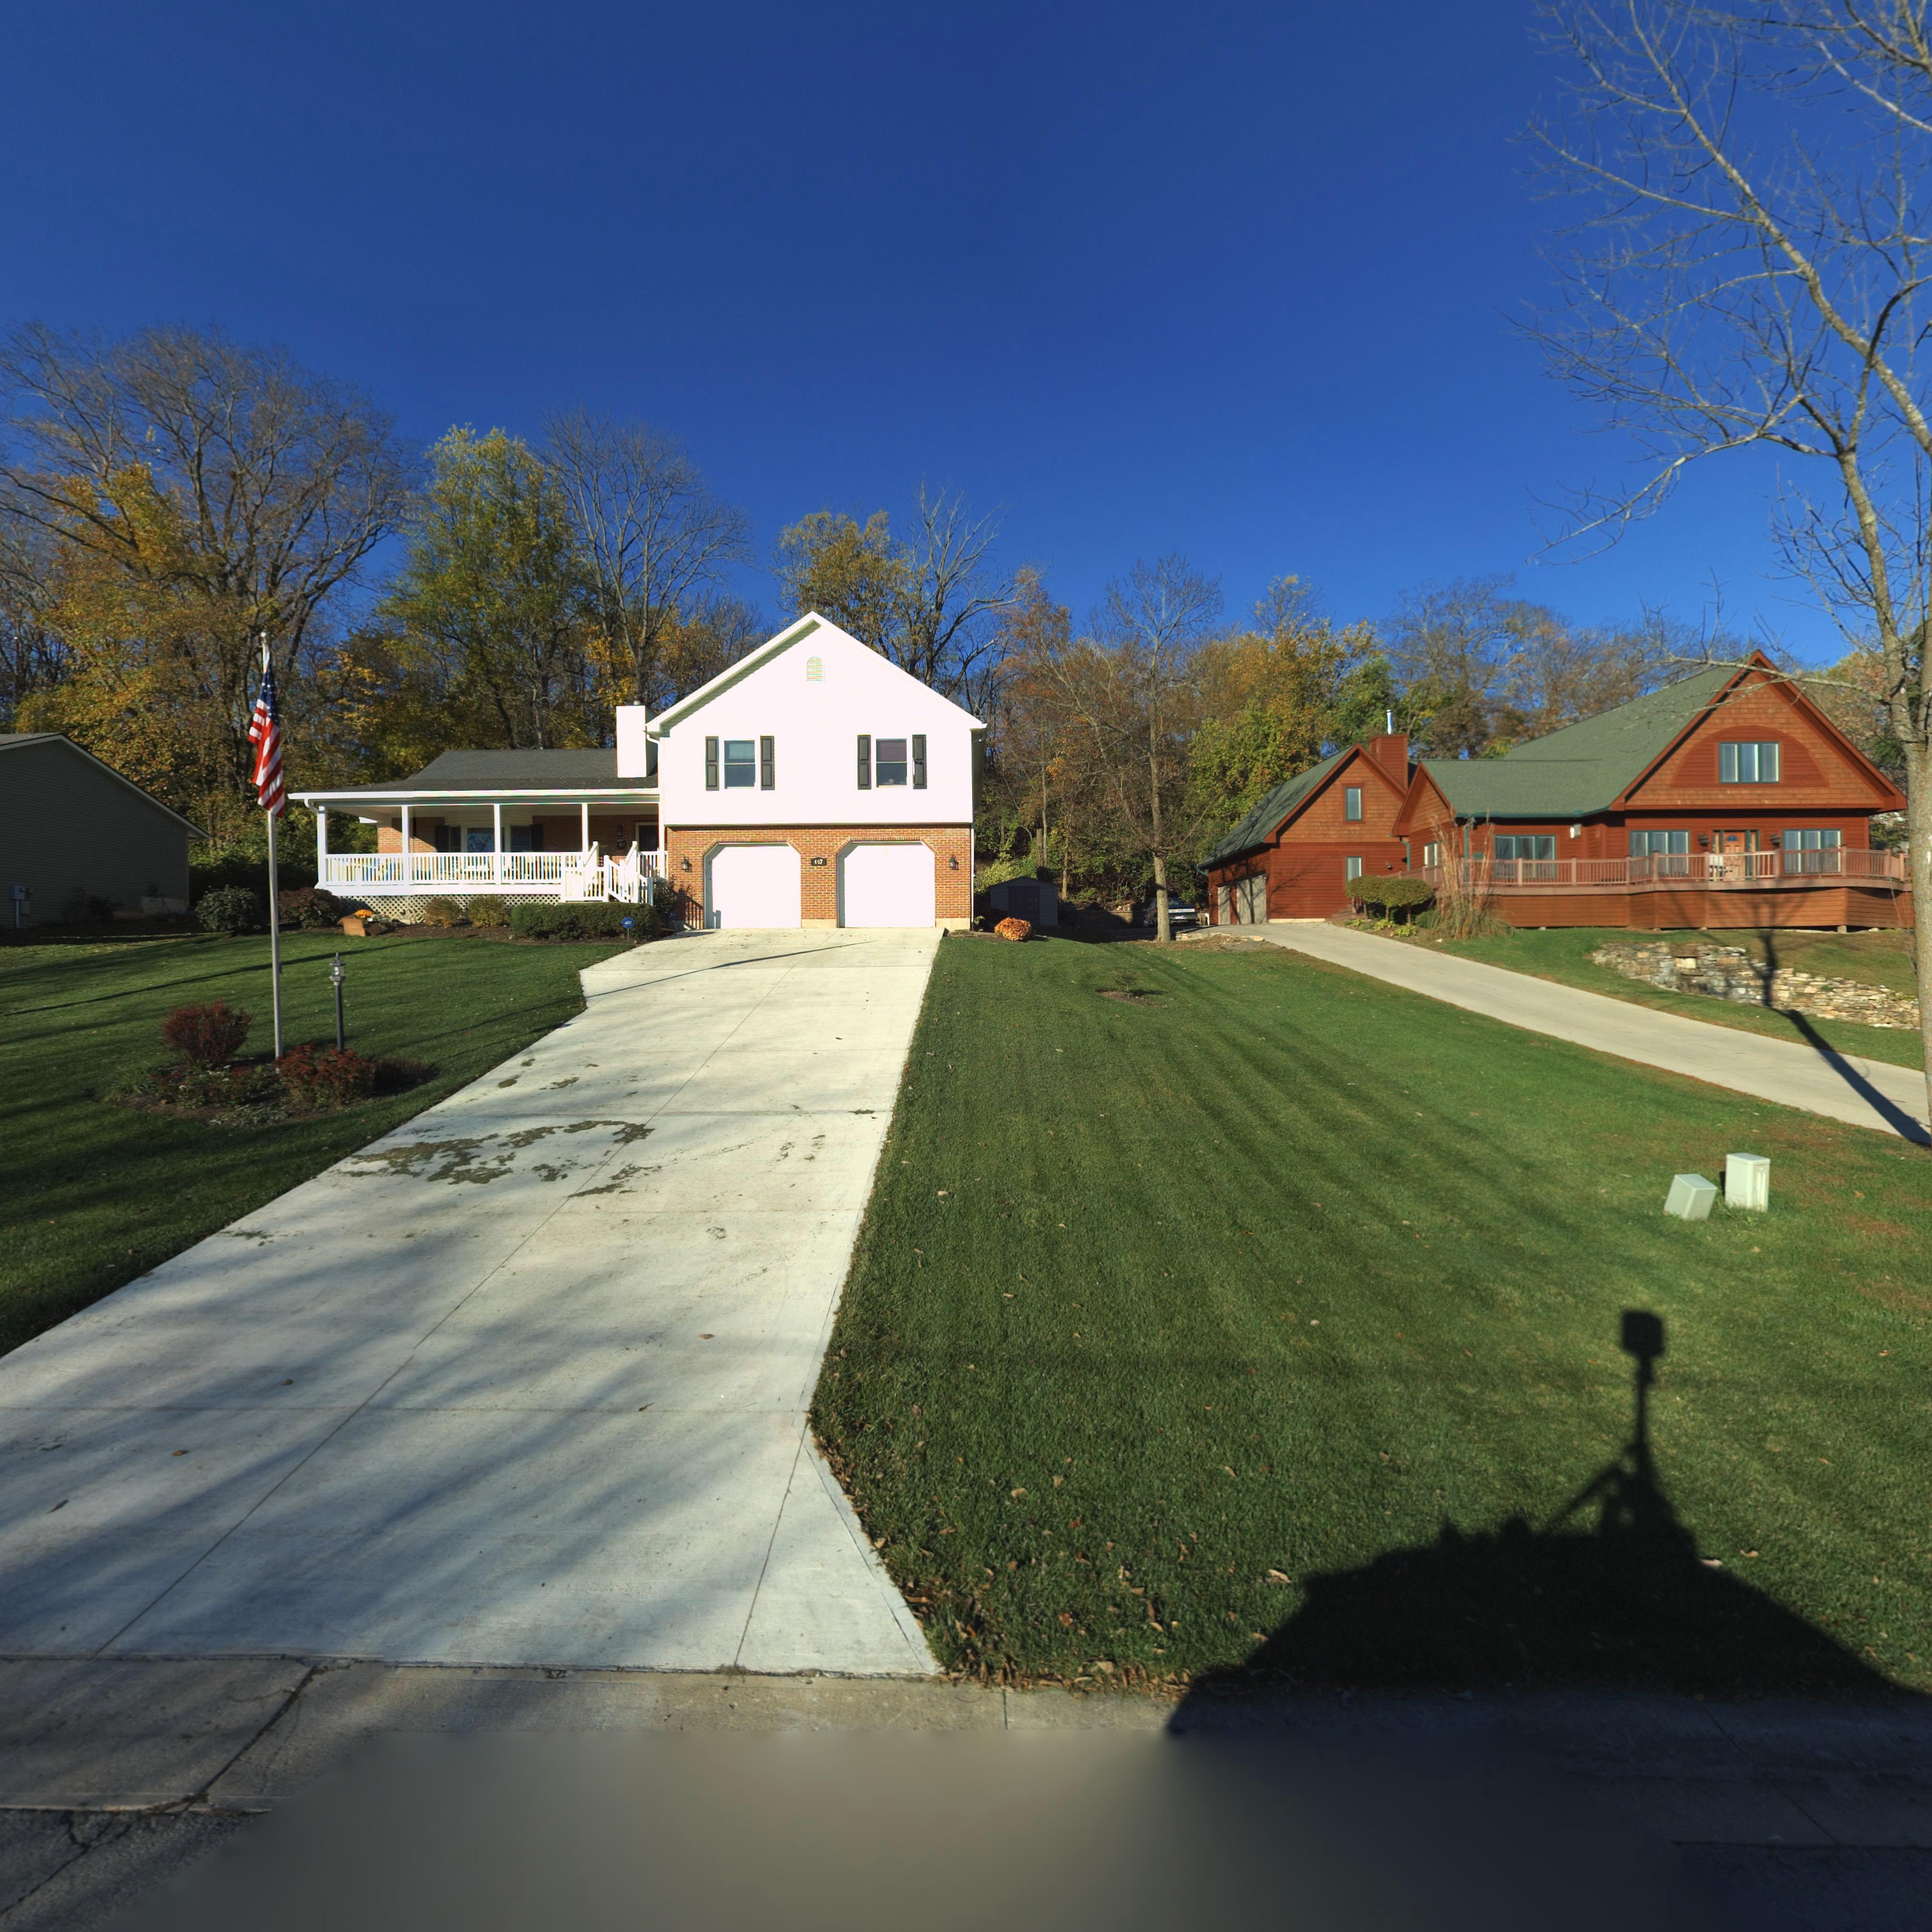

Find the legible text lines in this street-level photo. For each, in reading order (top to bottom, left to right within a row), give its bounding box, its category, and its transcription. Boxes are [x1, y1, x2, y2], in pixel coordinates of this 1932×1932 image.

[814, 859, 823, 865] StreetNumber: 407